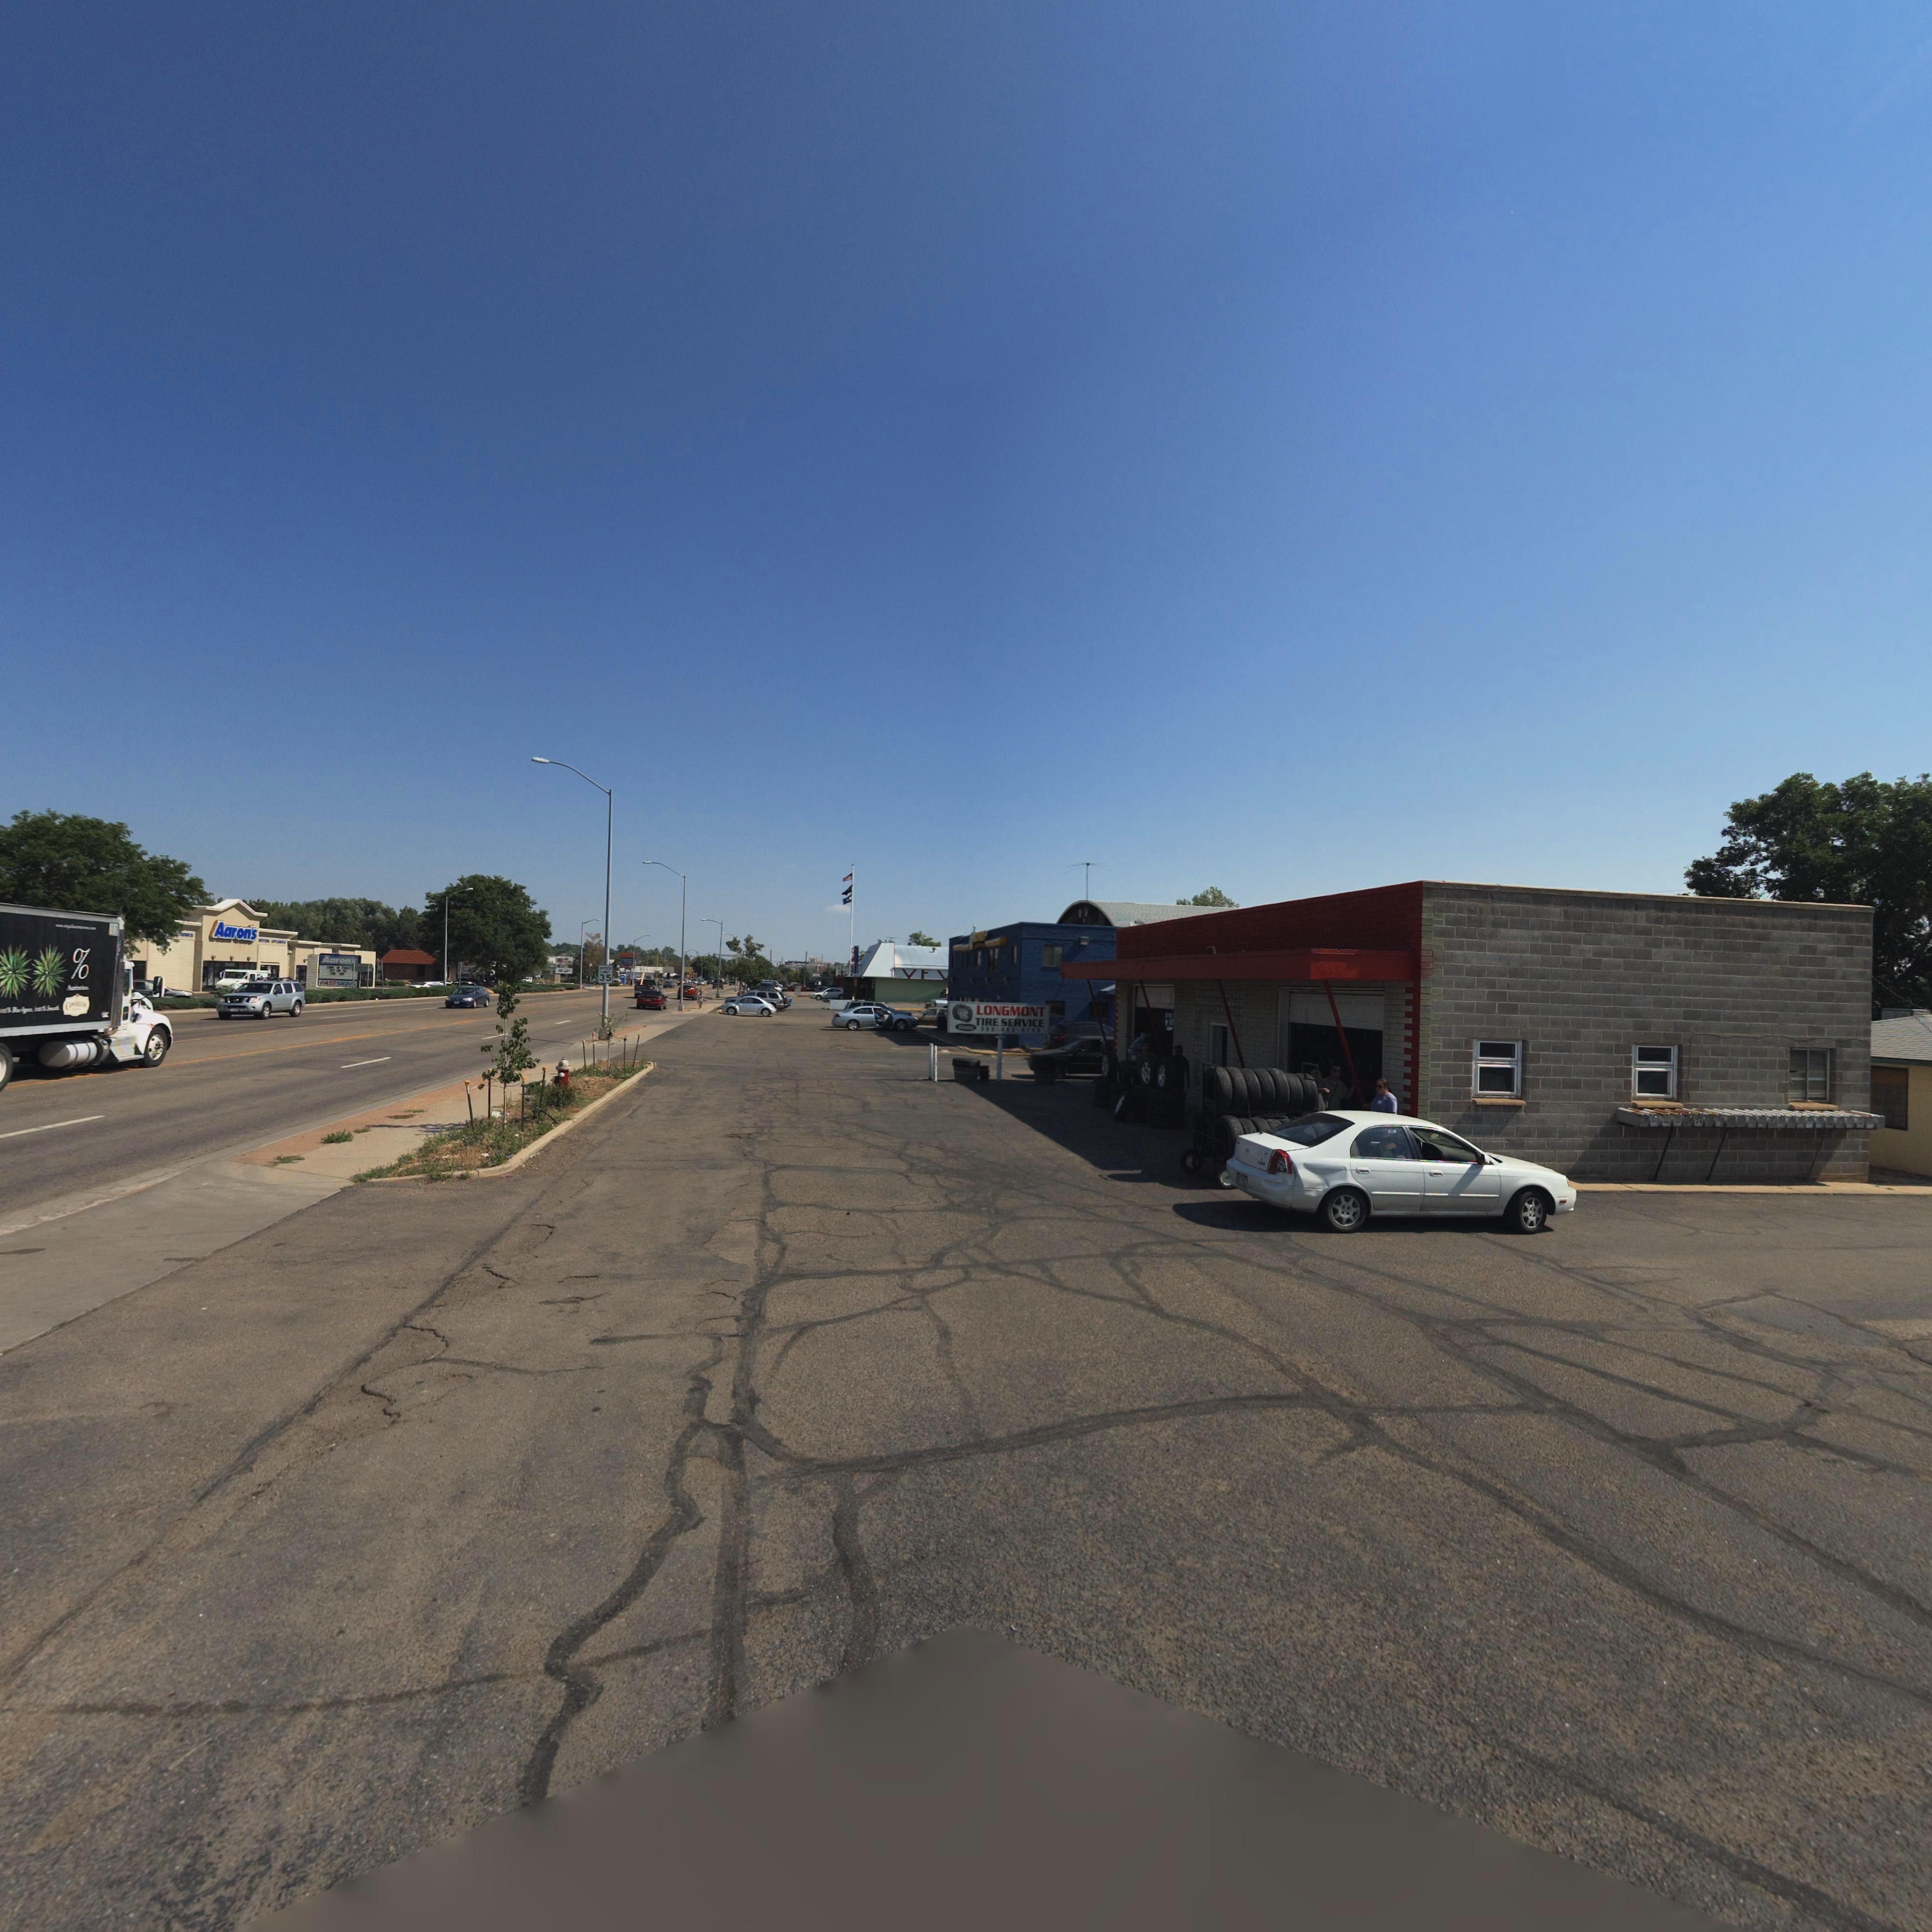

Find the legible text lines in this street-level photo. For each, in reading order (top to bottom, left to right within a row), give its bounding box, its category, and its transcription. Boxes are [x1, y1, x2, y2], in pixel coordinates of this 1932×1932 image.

[210, 920, 258, 941] BusinessName: Aarons
[320, 955, 356, 964] BusinessName: Aaron's
[319, 980, 357, 986] BusinessName: FAST SIGN*
[976, 1005, 1046, 1017] BusinessName: LONGMONT
[975, 1017, 1045, 1028] BusinessName: TIRE SERVICE